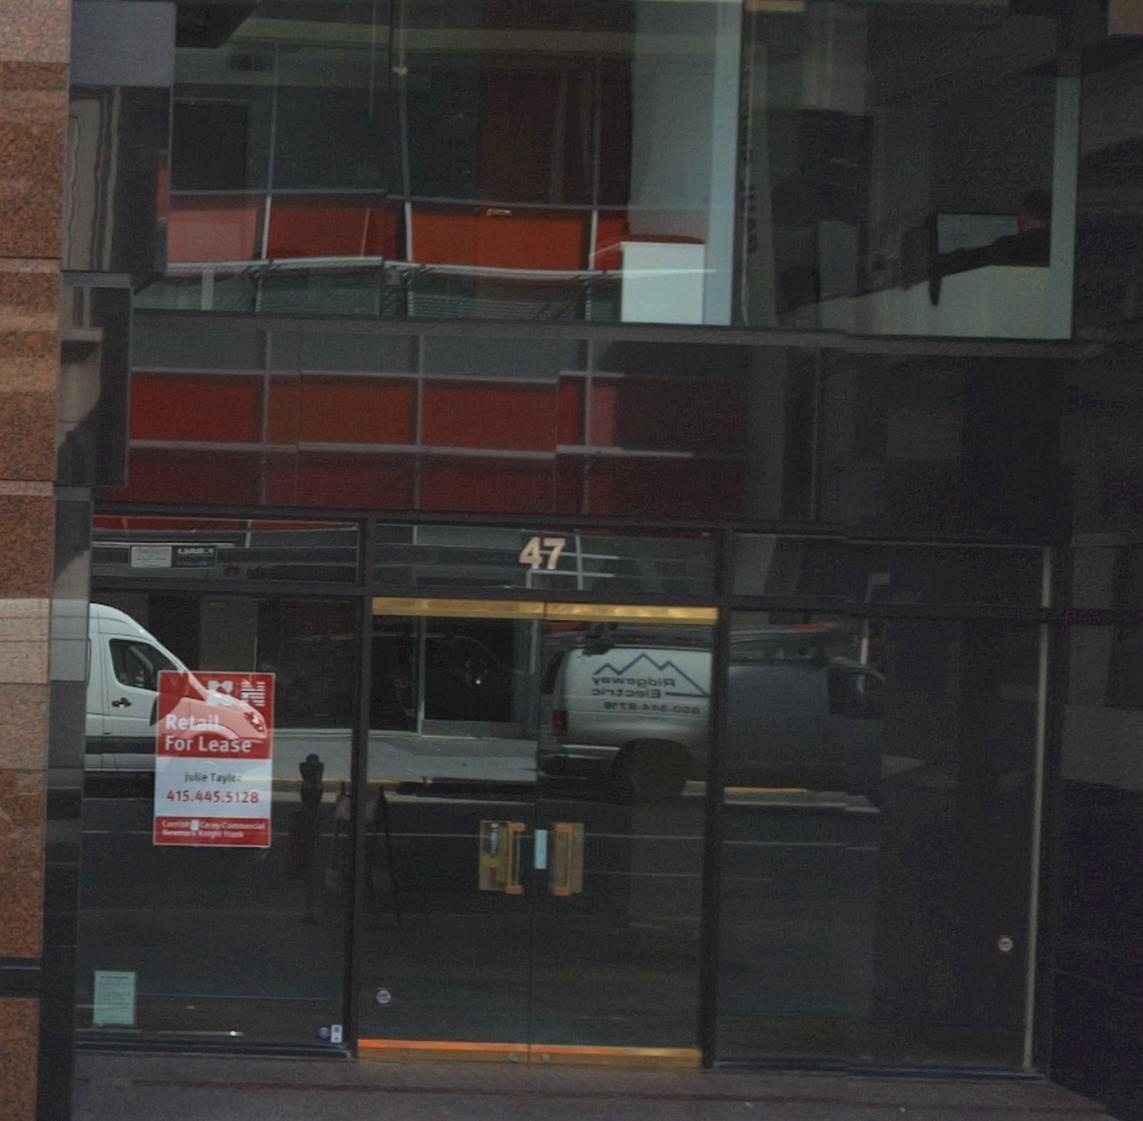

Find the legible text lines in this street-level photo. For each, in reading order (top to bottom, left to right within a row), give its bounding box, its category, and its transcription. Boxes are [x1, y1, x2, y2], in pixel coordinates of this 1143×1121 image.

[517, 535, 569, 571] StreetNumber: 47
[163, 712, 220, 733] None: Retail
[163, 734, 254, 754] None: For Lease
[165, 790, 260, 803] None: 415.445.5128